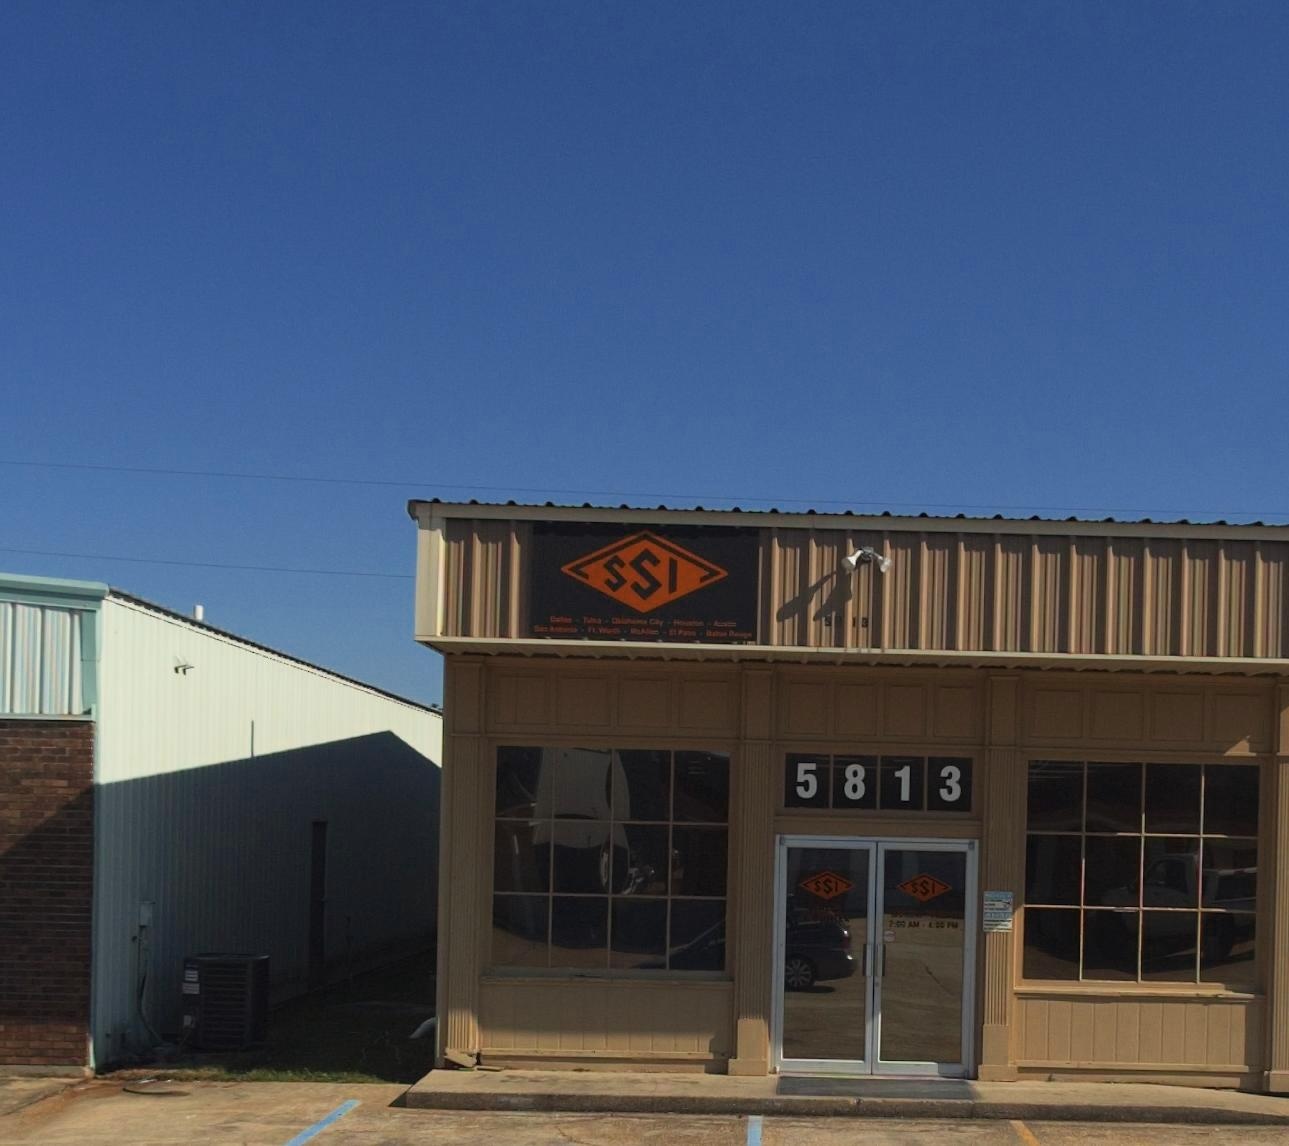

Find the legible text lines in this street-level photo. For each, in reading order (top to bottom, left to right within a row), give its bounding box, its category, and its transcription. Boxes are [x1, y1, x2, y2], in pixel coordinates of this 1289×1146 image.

[601, 544, 680, 604] BusinessName: SSI
[794, 760, 965, 805] StreetNumber: 5813
[812, 875, 840, 898] BusinessName: SSI
[909, 876, 937, 899] BusinessName: SSI
[886, 918, 961, 931] None: 7:00 AM * 4:00 PM